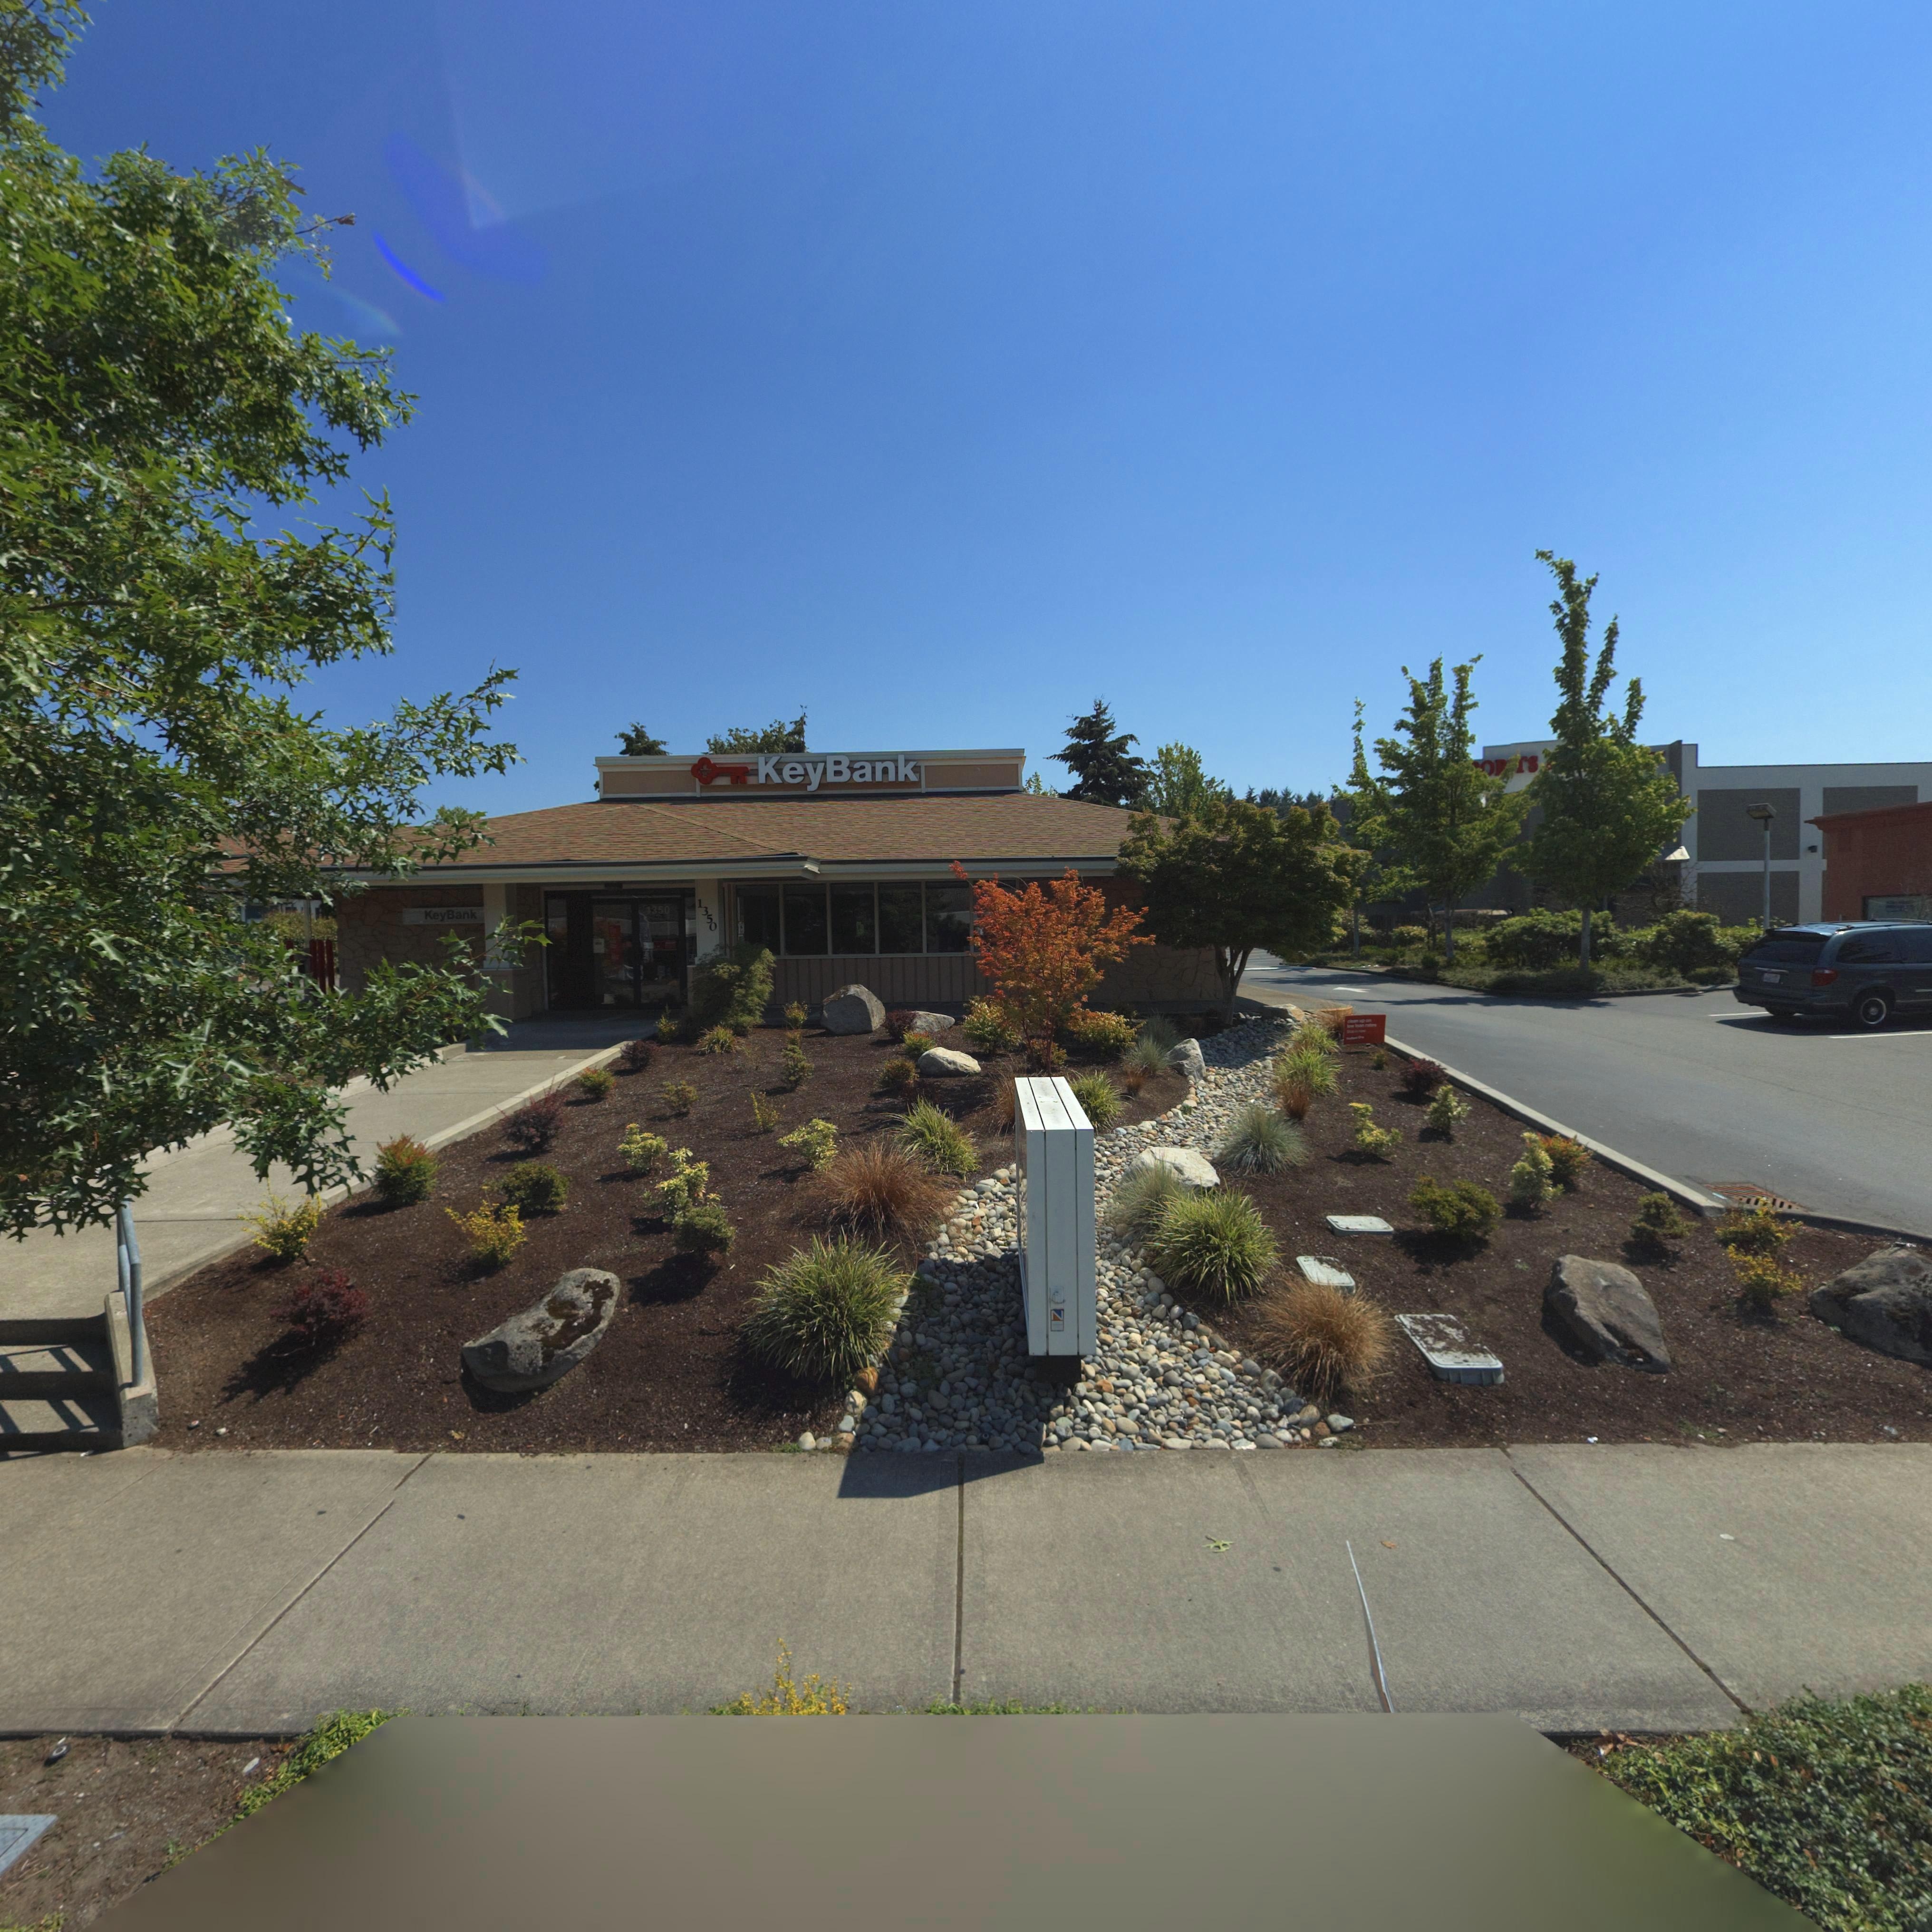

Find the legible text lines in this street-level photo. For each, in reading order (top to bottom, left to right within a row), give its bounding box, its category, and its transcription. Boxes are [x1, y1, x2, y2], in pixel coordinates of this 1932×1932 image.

[647, 906, 669, 914] StreetNumber: 1350